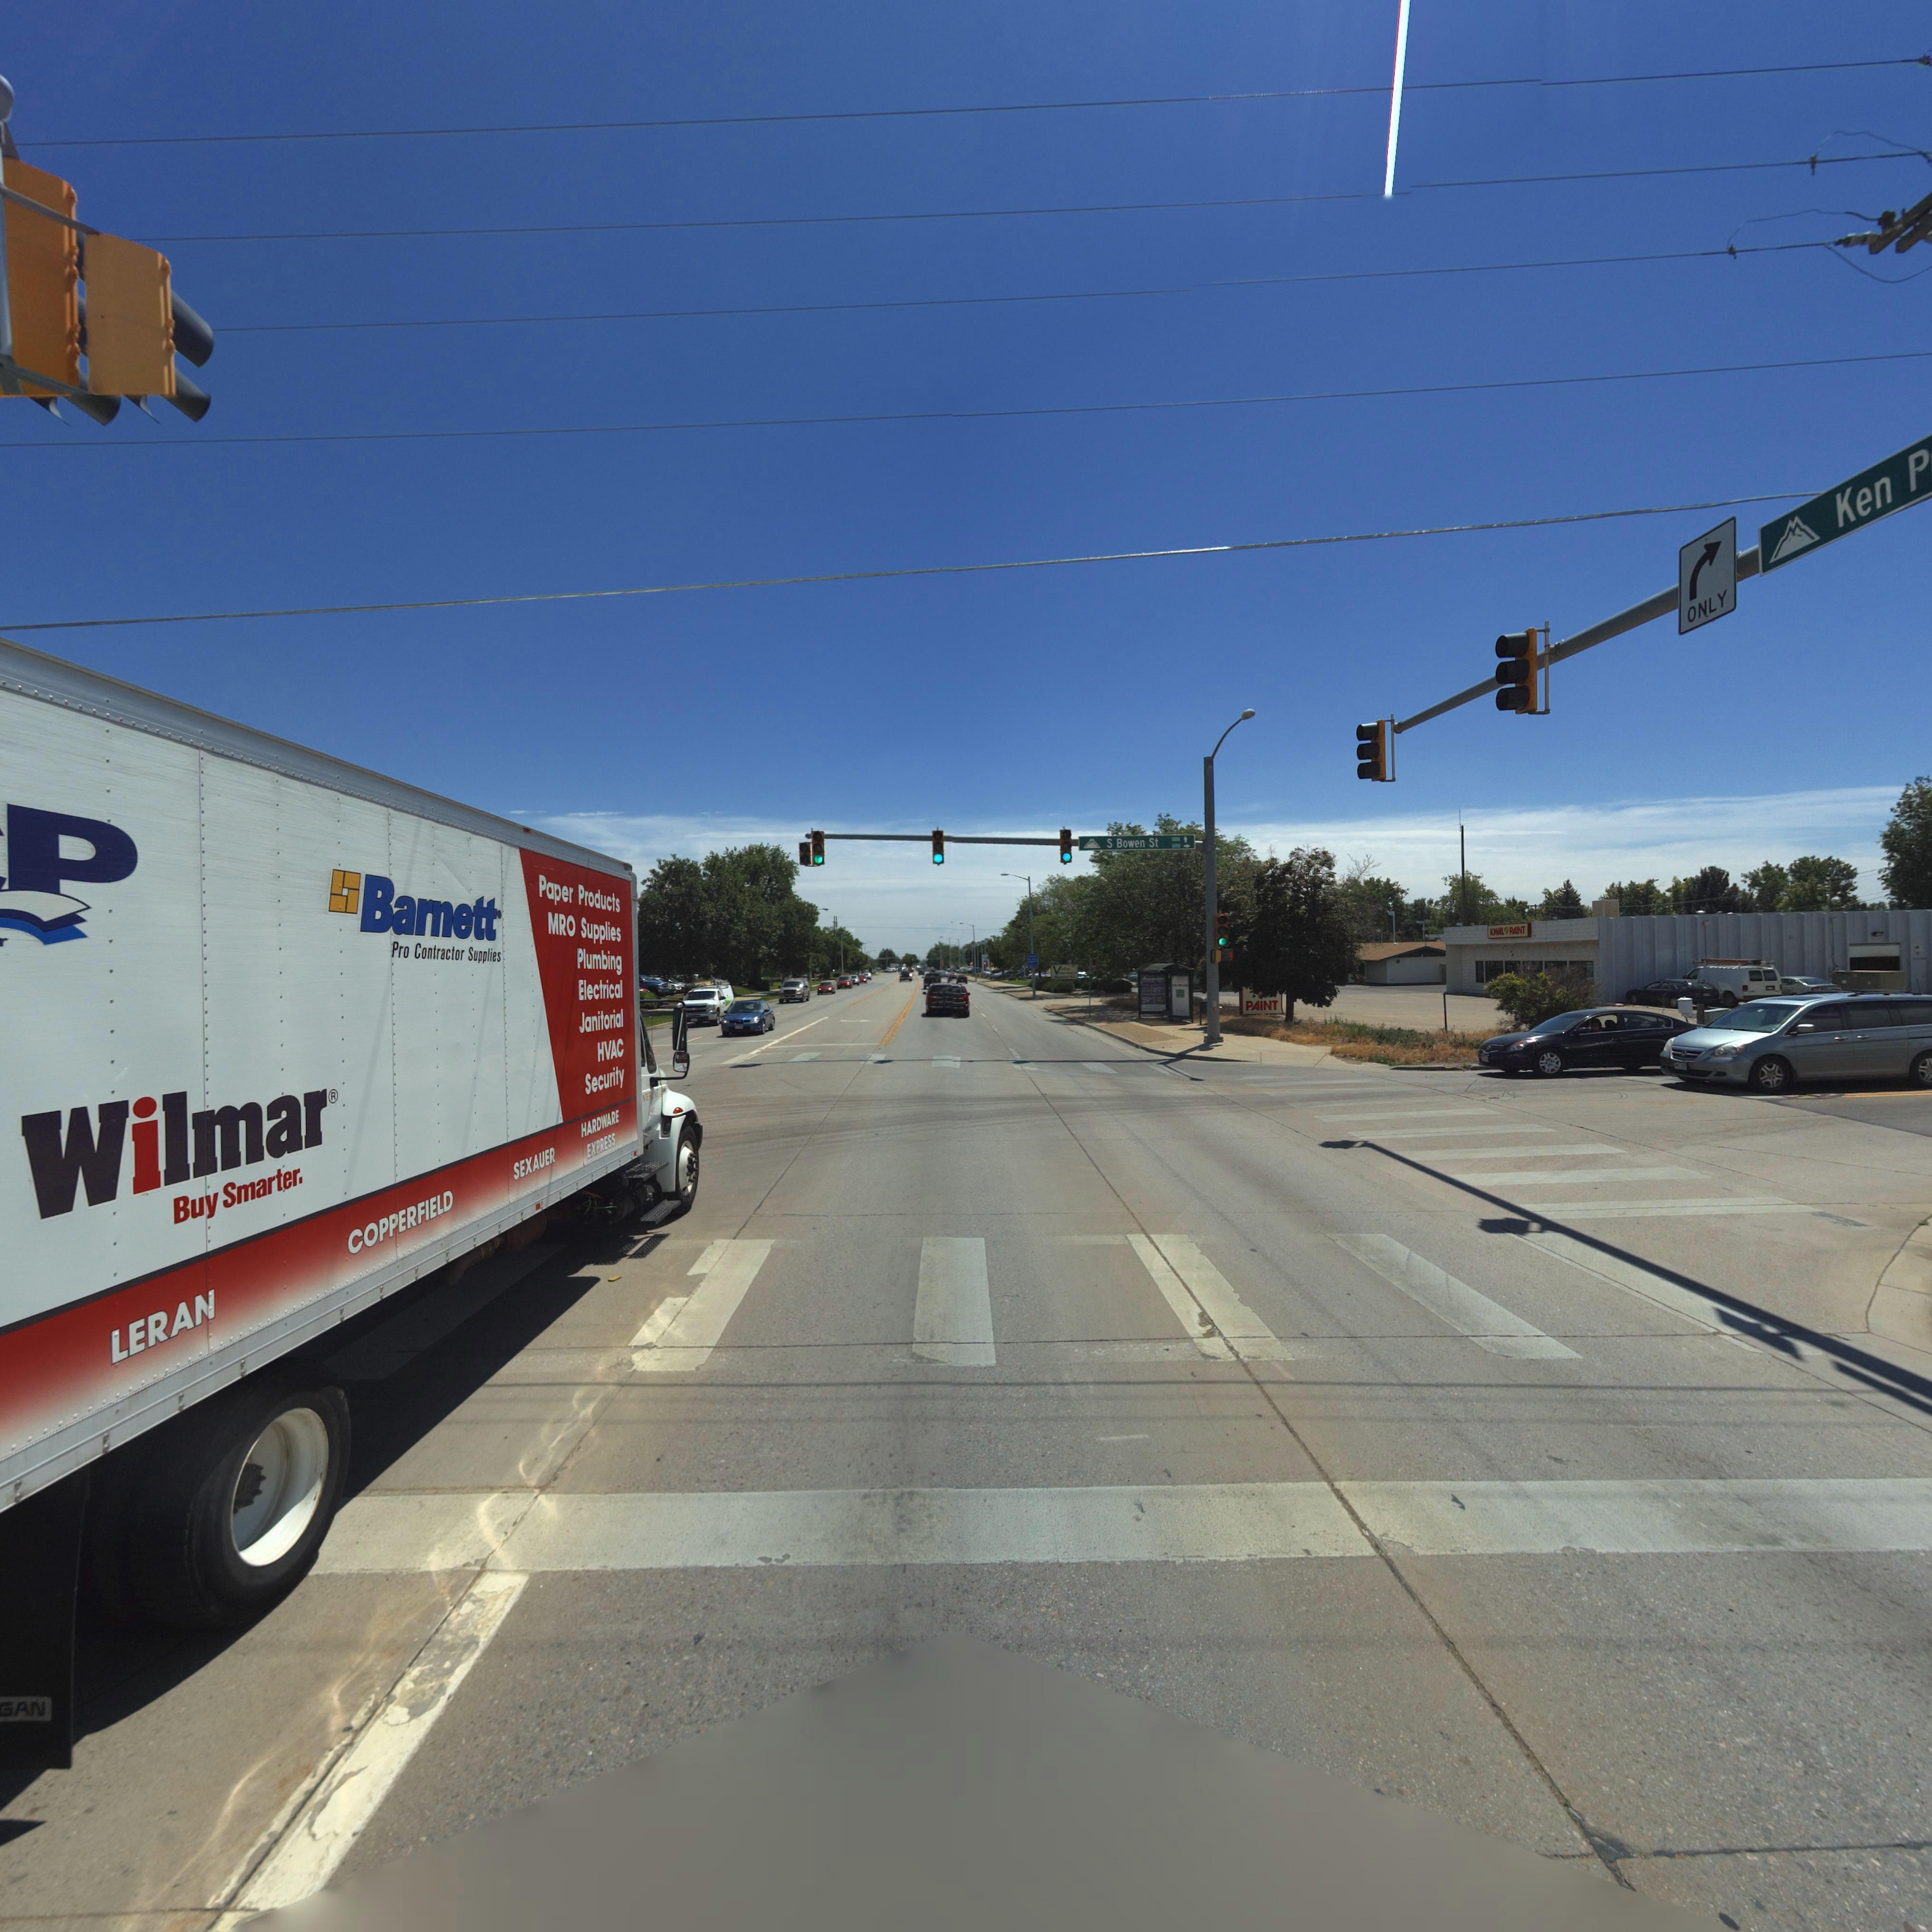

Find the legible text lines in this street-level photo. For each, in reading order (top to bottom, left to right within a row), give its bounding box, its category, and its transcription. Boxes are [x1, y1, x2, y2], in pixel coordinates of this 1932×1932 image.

[1835, 447, 1931, 530] StreetName: Ken P
[1106, 837, 1159, 848] StreetName: S Bowen St
[1171, 837, 1180, 841] StreetNumberRange: 100
[1171, 843, 1191, 848] StreetNumberRange: 600->
[1489, 925, 1526, 936] BusinessName: KWAL * PAINT
[1052, 966, 1063, 975] BusinessName: V
[1060, 966, 1071, 971] BusinessName: ****y
[1058, 971, 1077, 975] BusinessName: *ter****y
[1246, 1000, 1278, 1011] BusinessName: PAINT